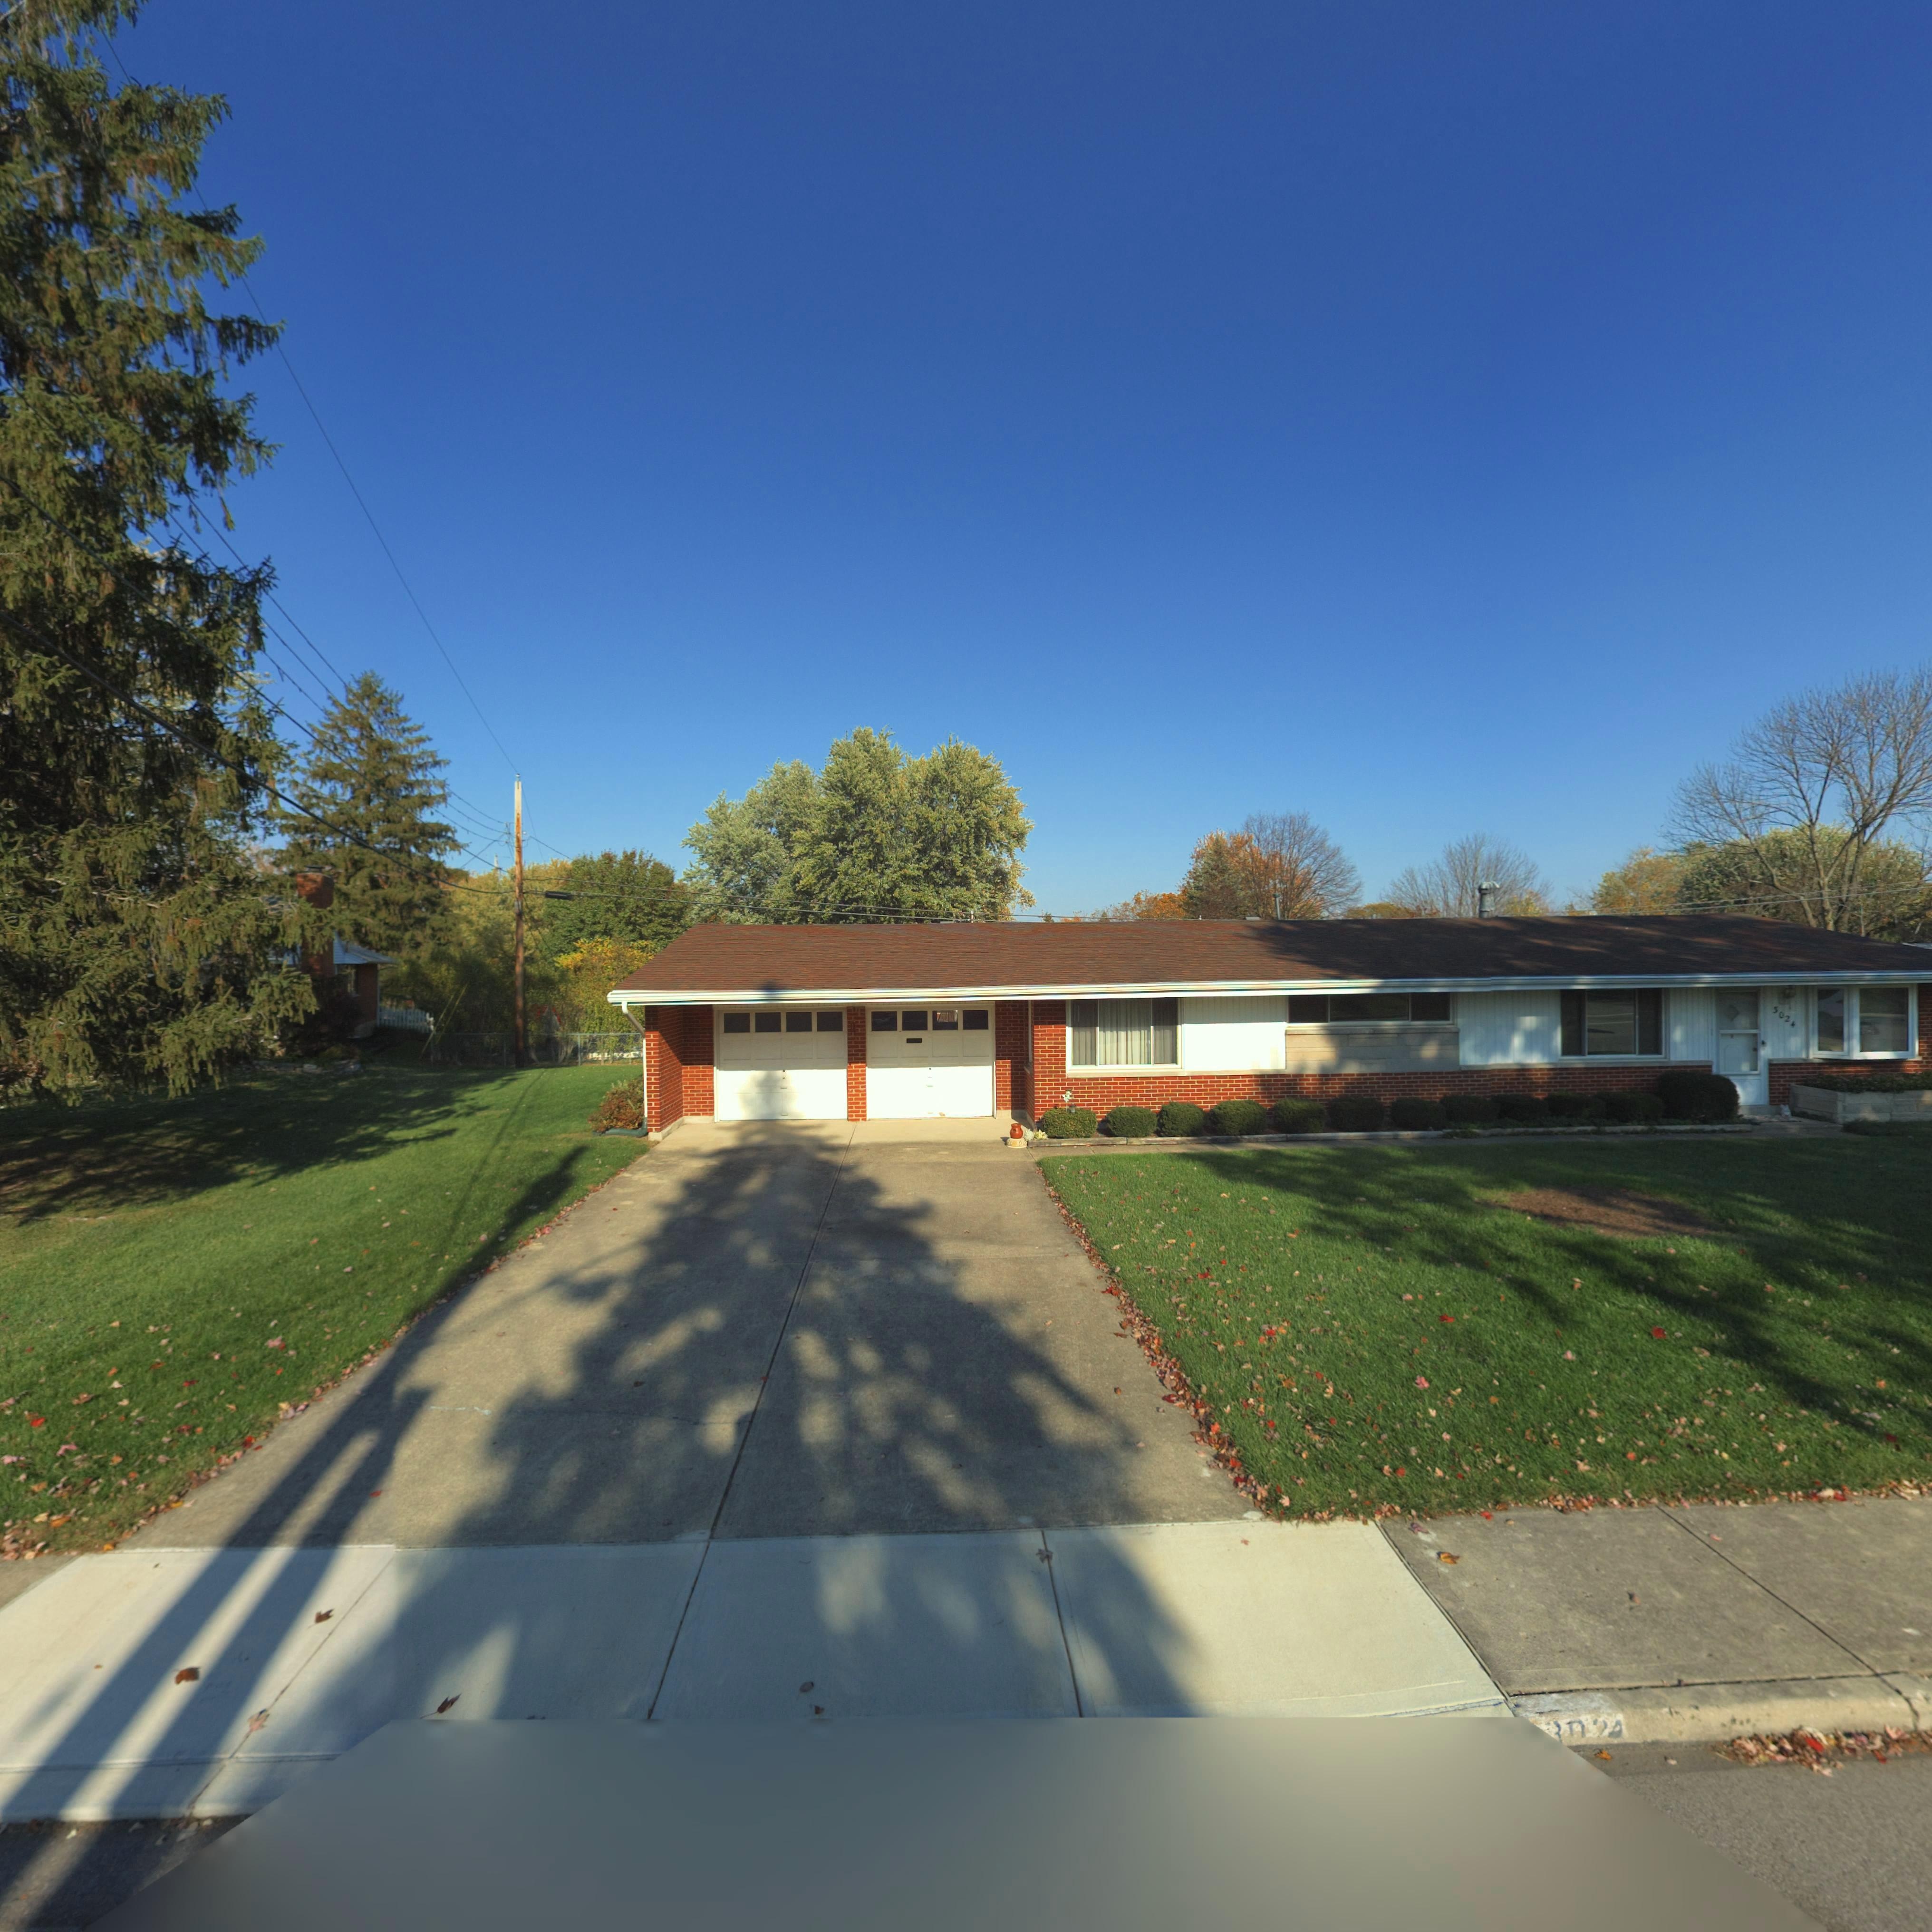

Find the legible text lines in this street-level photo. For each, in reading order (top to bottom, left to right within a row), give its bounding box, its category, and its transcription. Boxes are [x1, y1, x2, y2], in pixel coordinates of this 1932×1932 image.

[1771, 1005, 1797, 1030] StreetNumber: 3024